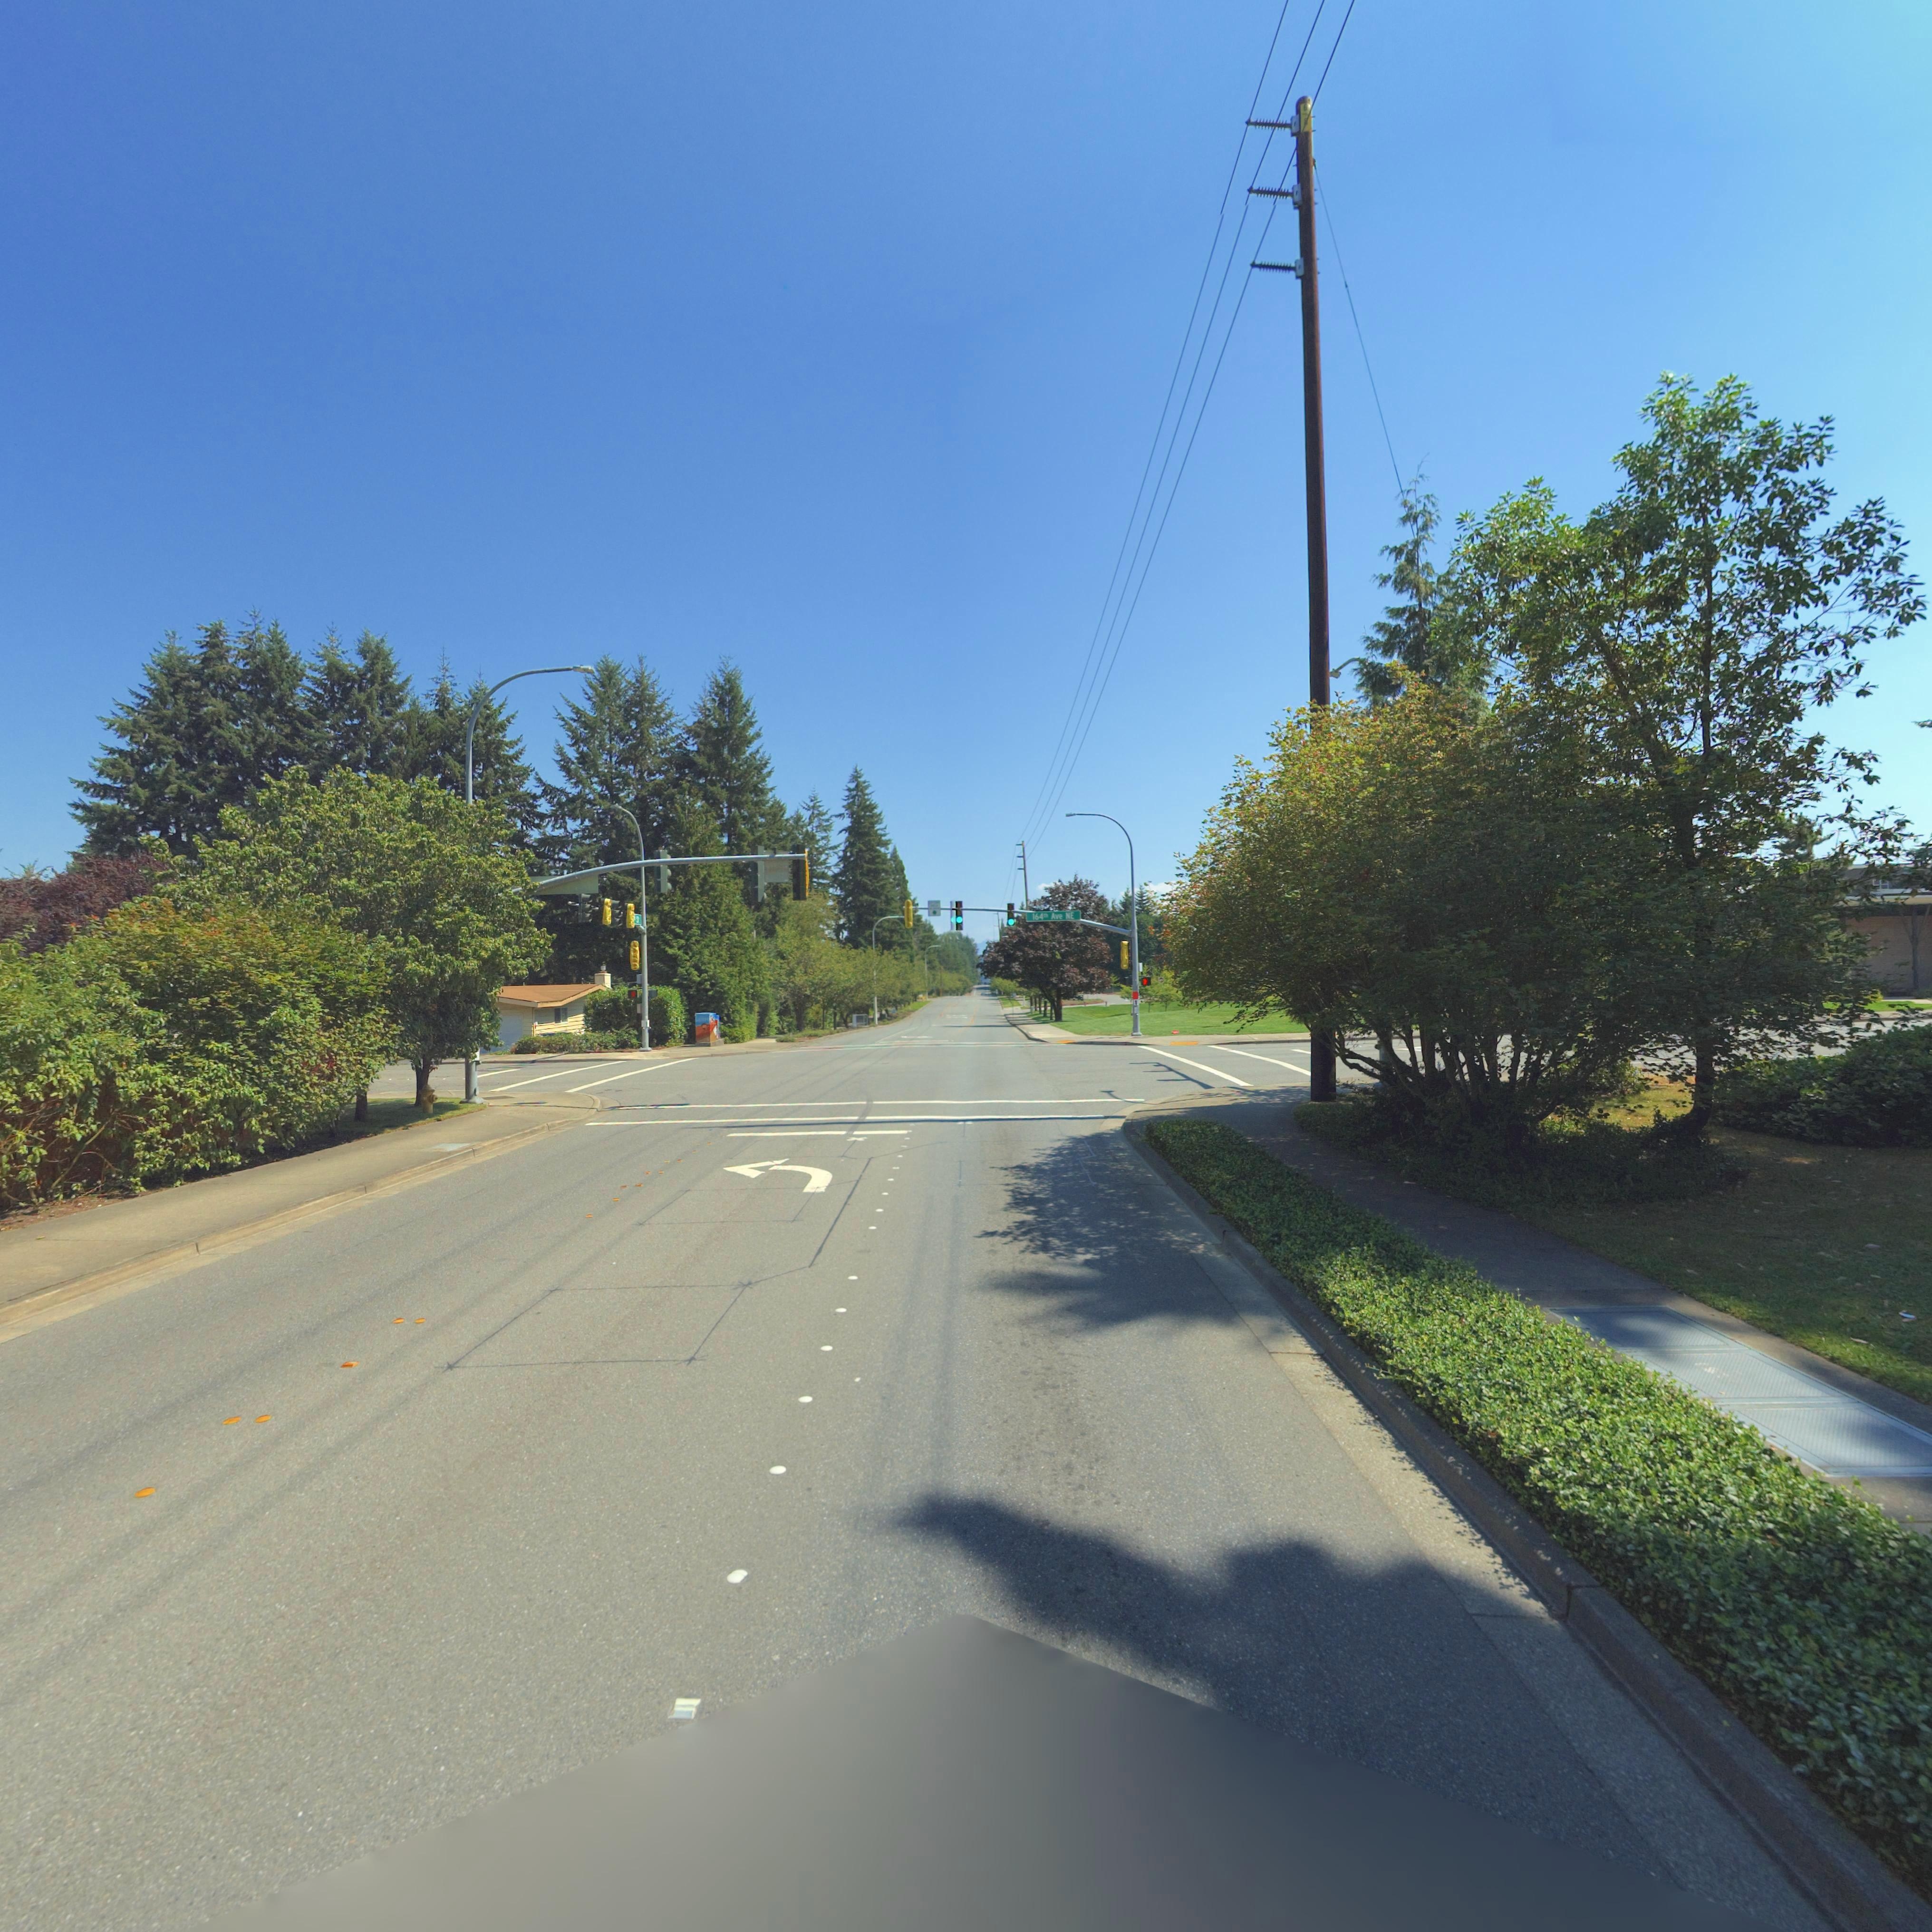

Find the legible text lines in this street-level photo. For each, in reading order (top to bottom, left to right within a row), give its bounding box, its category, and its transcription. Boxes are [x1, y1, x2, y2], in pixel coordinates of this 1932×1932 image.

[1033, 912, 1073, 920] StreetName: 164** Ave NE